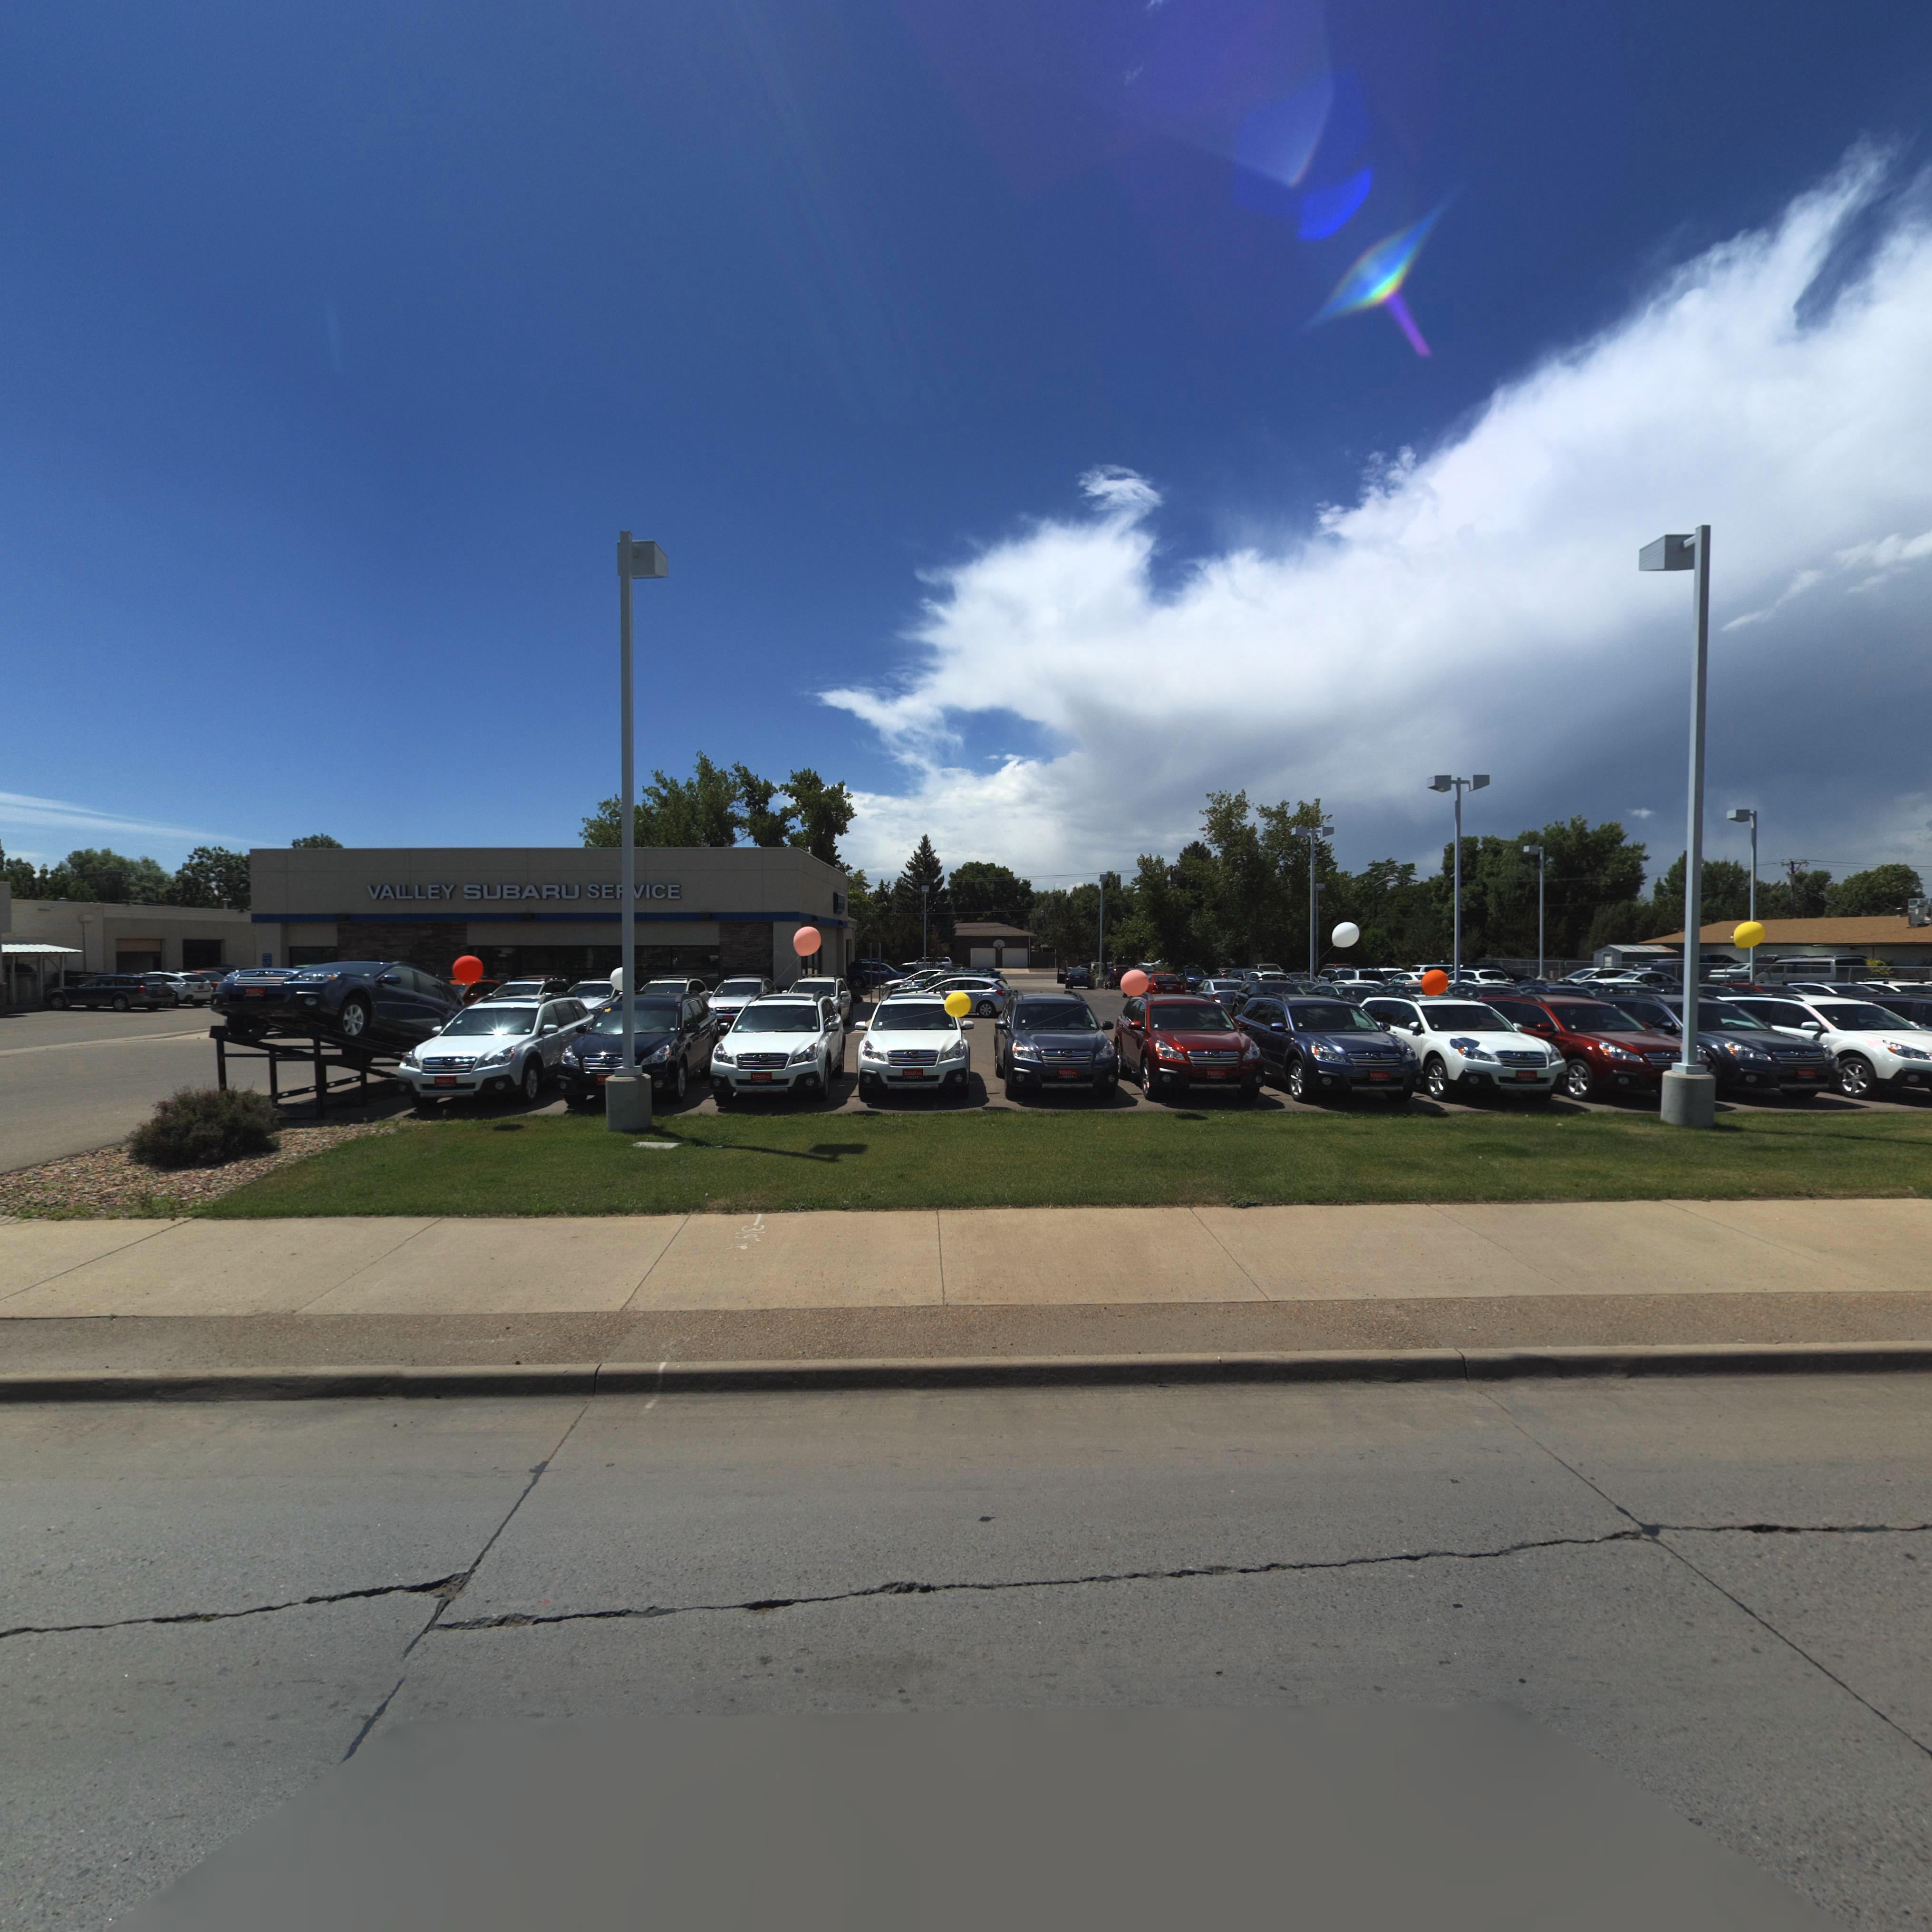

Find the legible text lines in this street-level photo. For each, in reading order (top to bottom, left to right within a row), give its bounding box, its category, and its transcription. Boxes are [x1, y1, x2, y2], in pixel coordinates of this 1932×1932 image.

[366, 884, 681, 900] BusinessName: VAL*LEY SUBARU SE*VICE